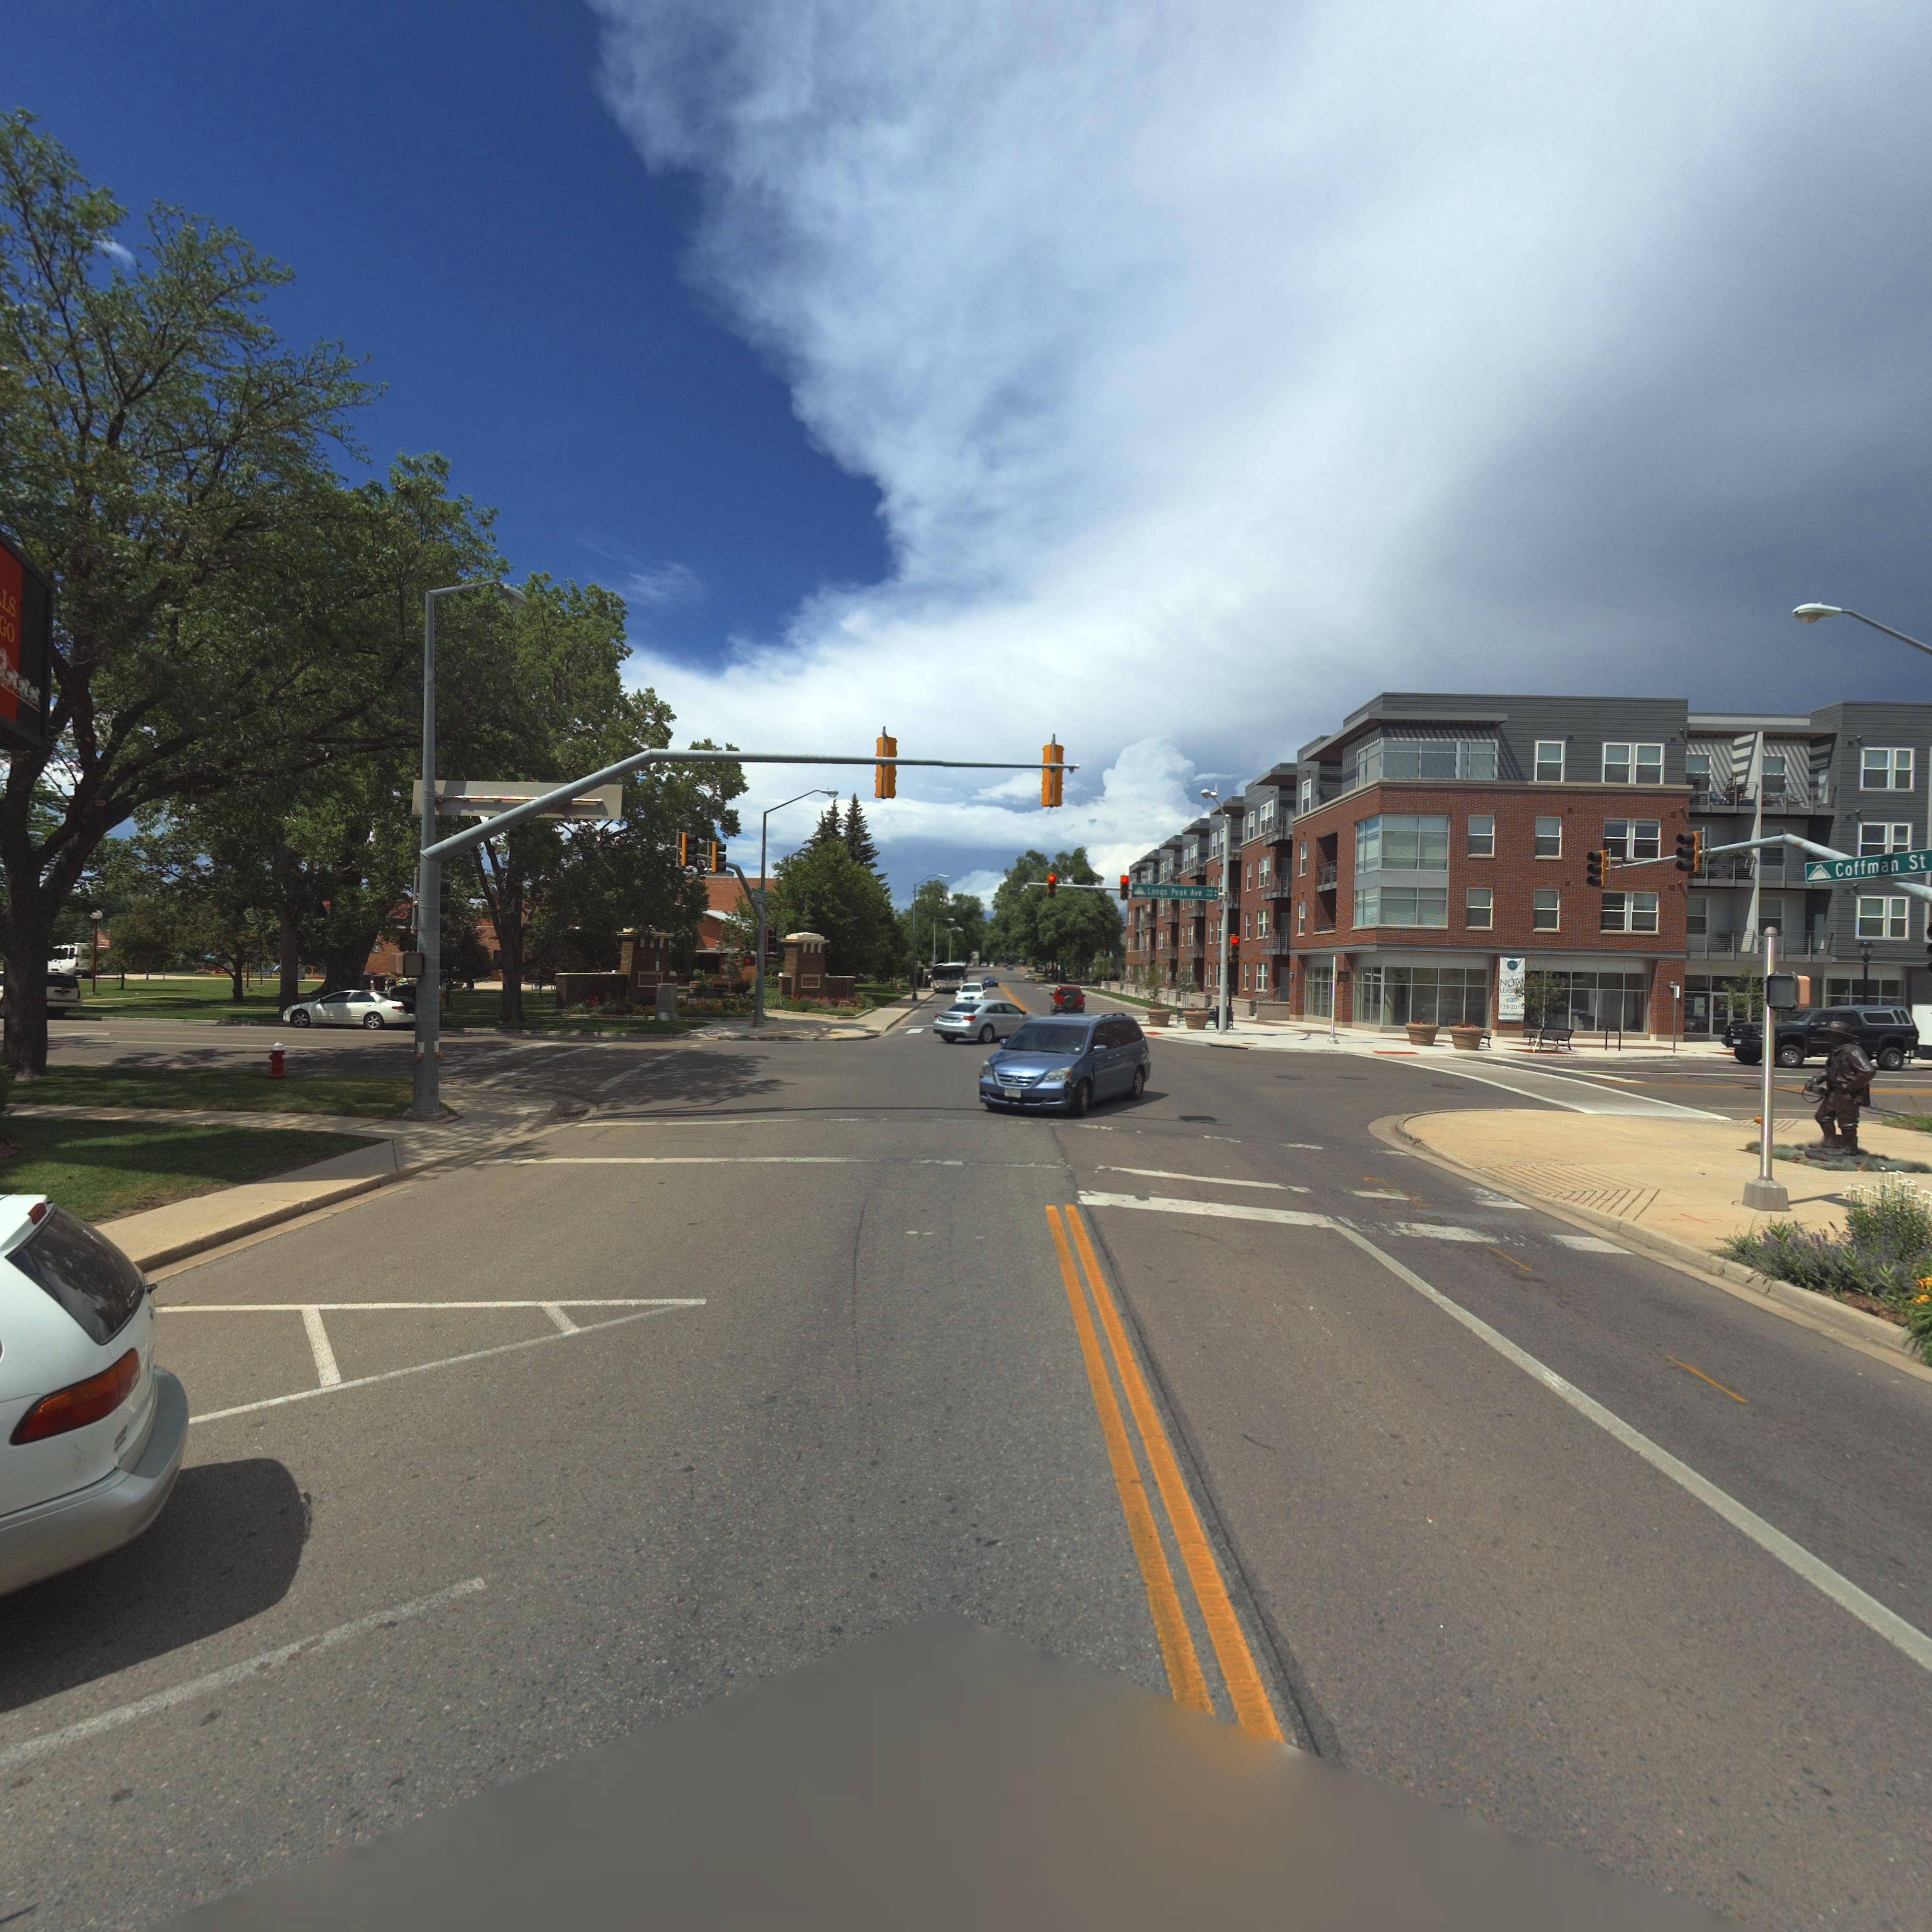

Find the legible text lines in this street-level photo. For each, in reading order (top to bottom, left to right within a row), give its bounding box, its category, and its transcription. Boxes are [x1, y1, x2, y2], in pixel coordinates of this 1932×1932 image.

[1835, 853, 1927, 878] StreetName: Coffman St
[1147, 887, 1202, 898] StreetName: Longs Peak Ave
[1206, 889, 1213, 893] StreetNumberRange: 100
[1206, 893, 1217, 897] StreetNumberRange: *00->